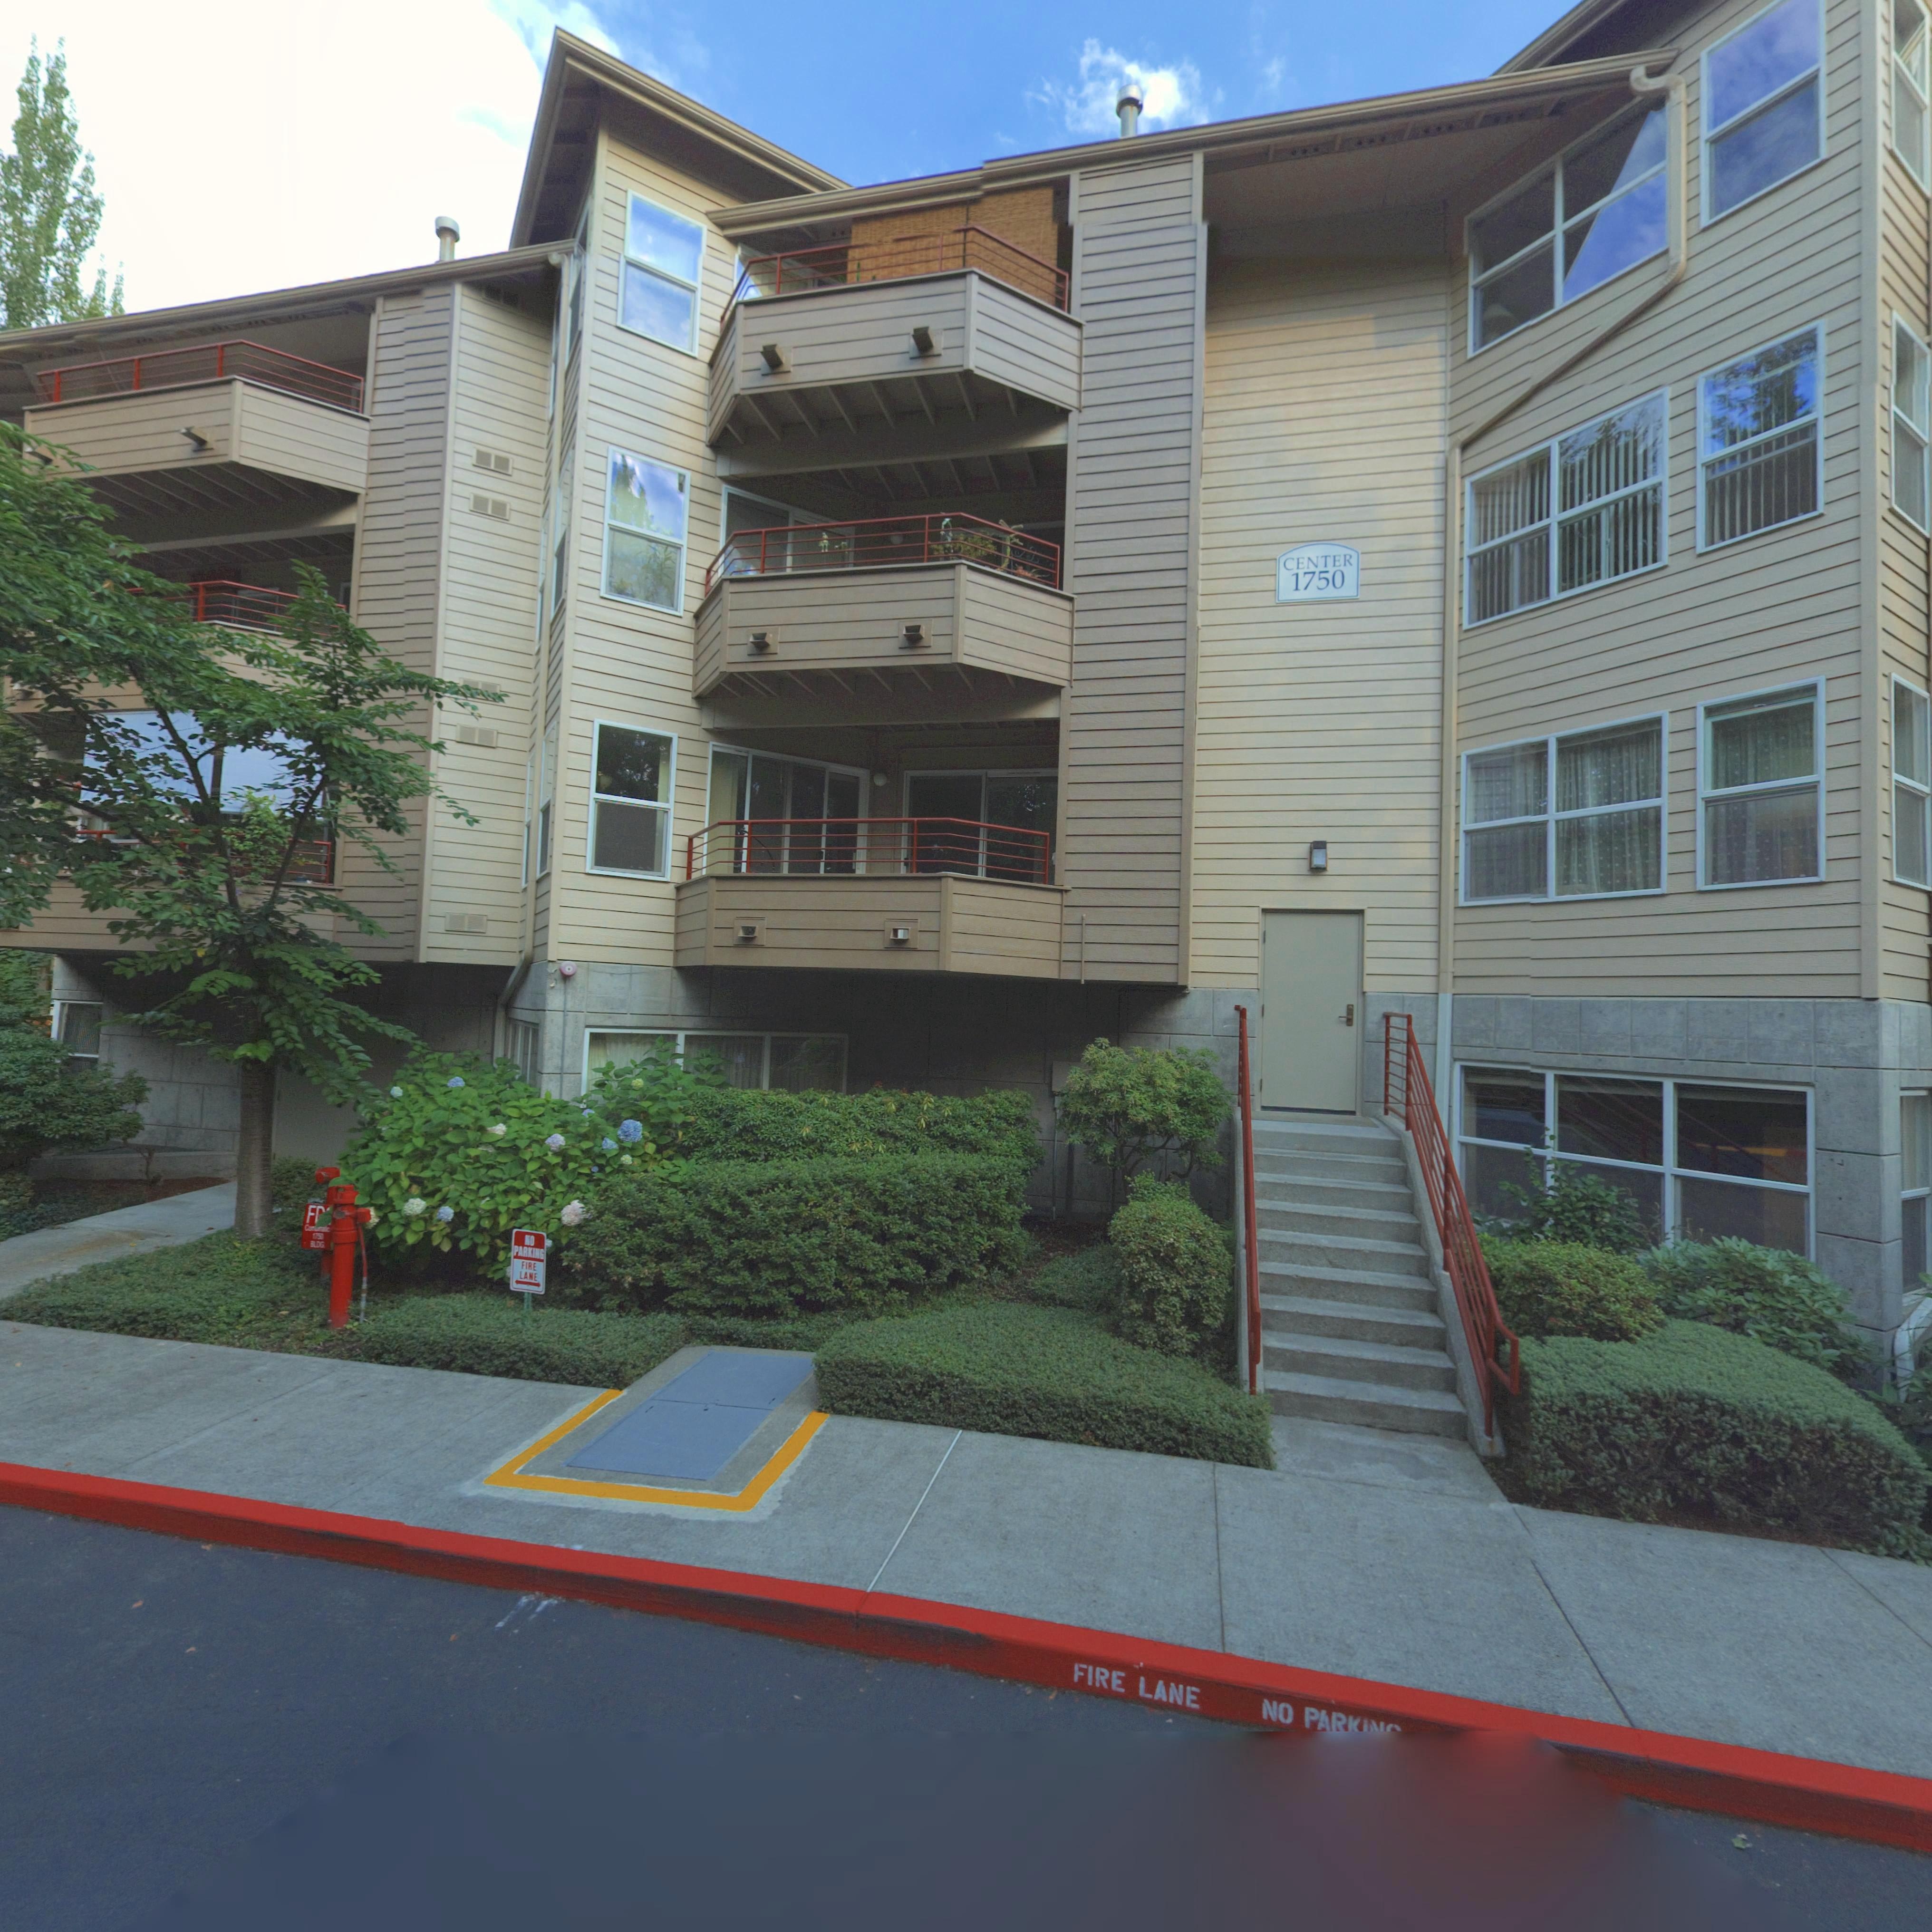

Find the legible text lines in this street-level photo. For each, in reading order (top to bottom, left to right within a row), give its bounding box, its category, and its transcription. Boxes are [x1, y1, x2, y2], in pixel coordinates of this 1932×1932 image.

[1283, 553, 1355, 572] SecondaryUnitDesignator: CENTER
[1291, 567, 1347, 592] StreetNumber: 1750